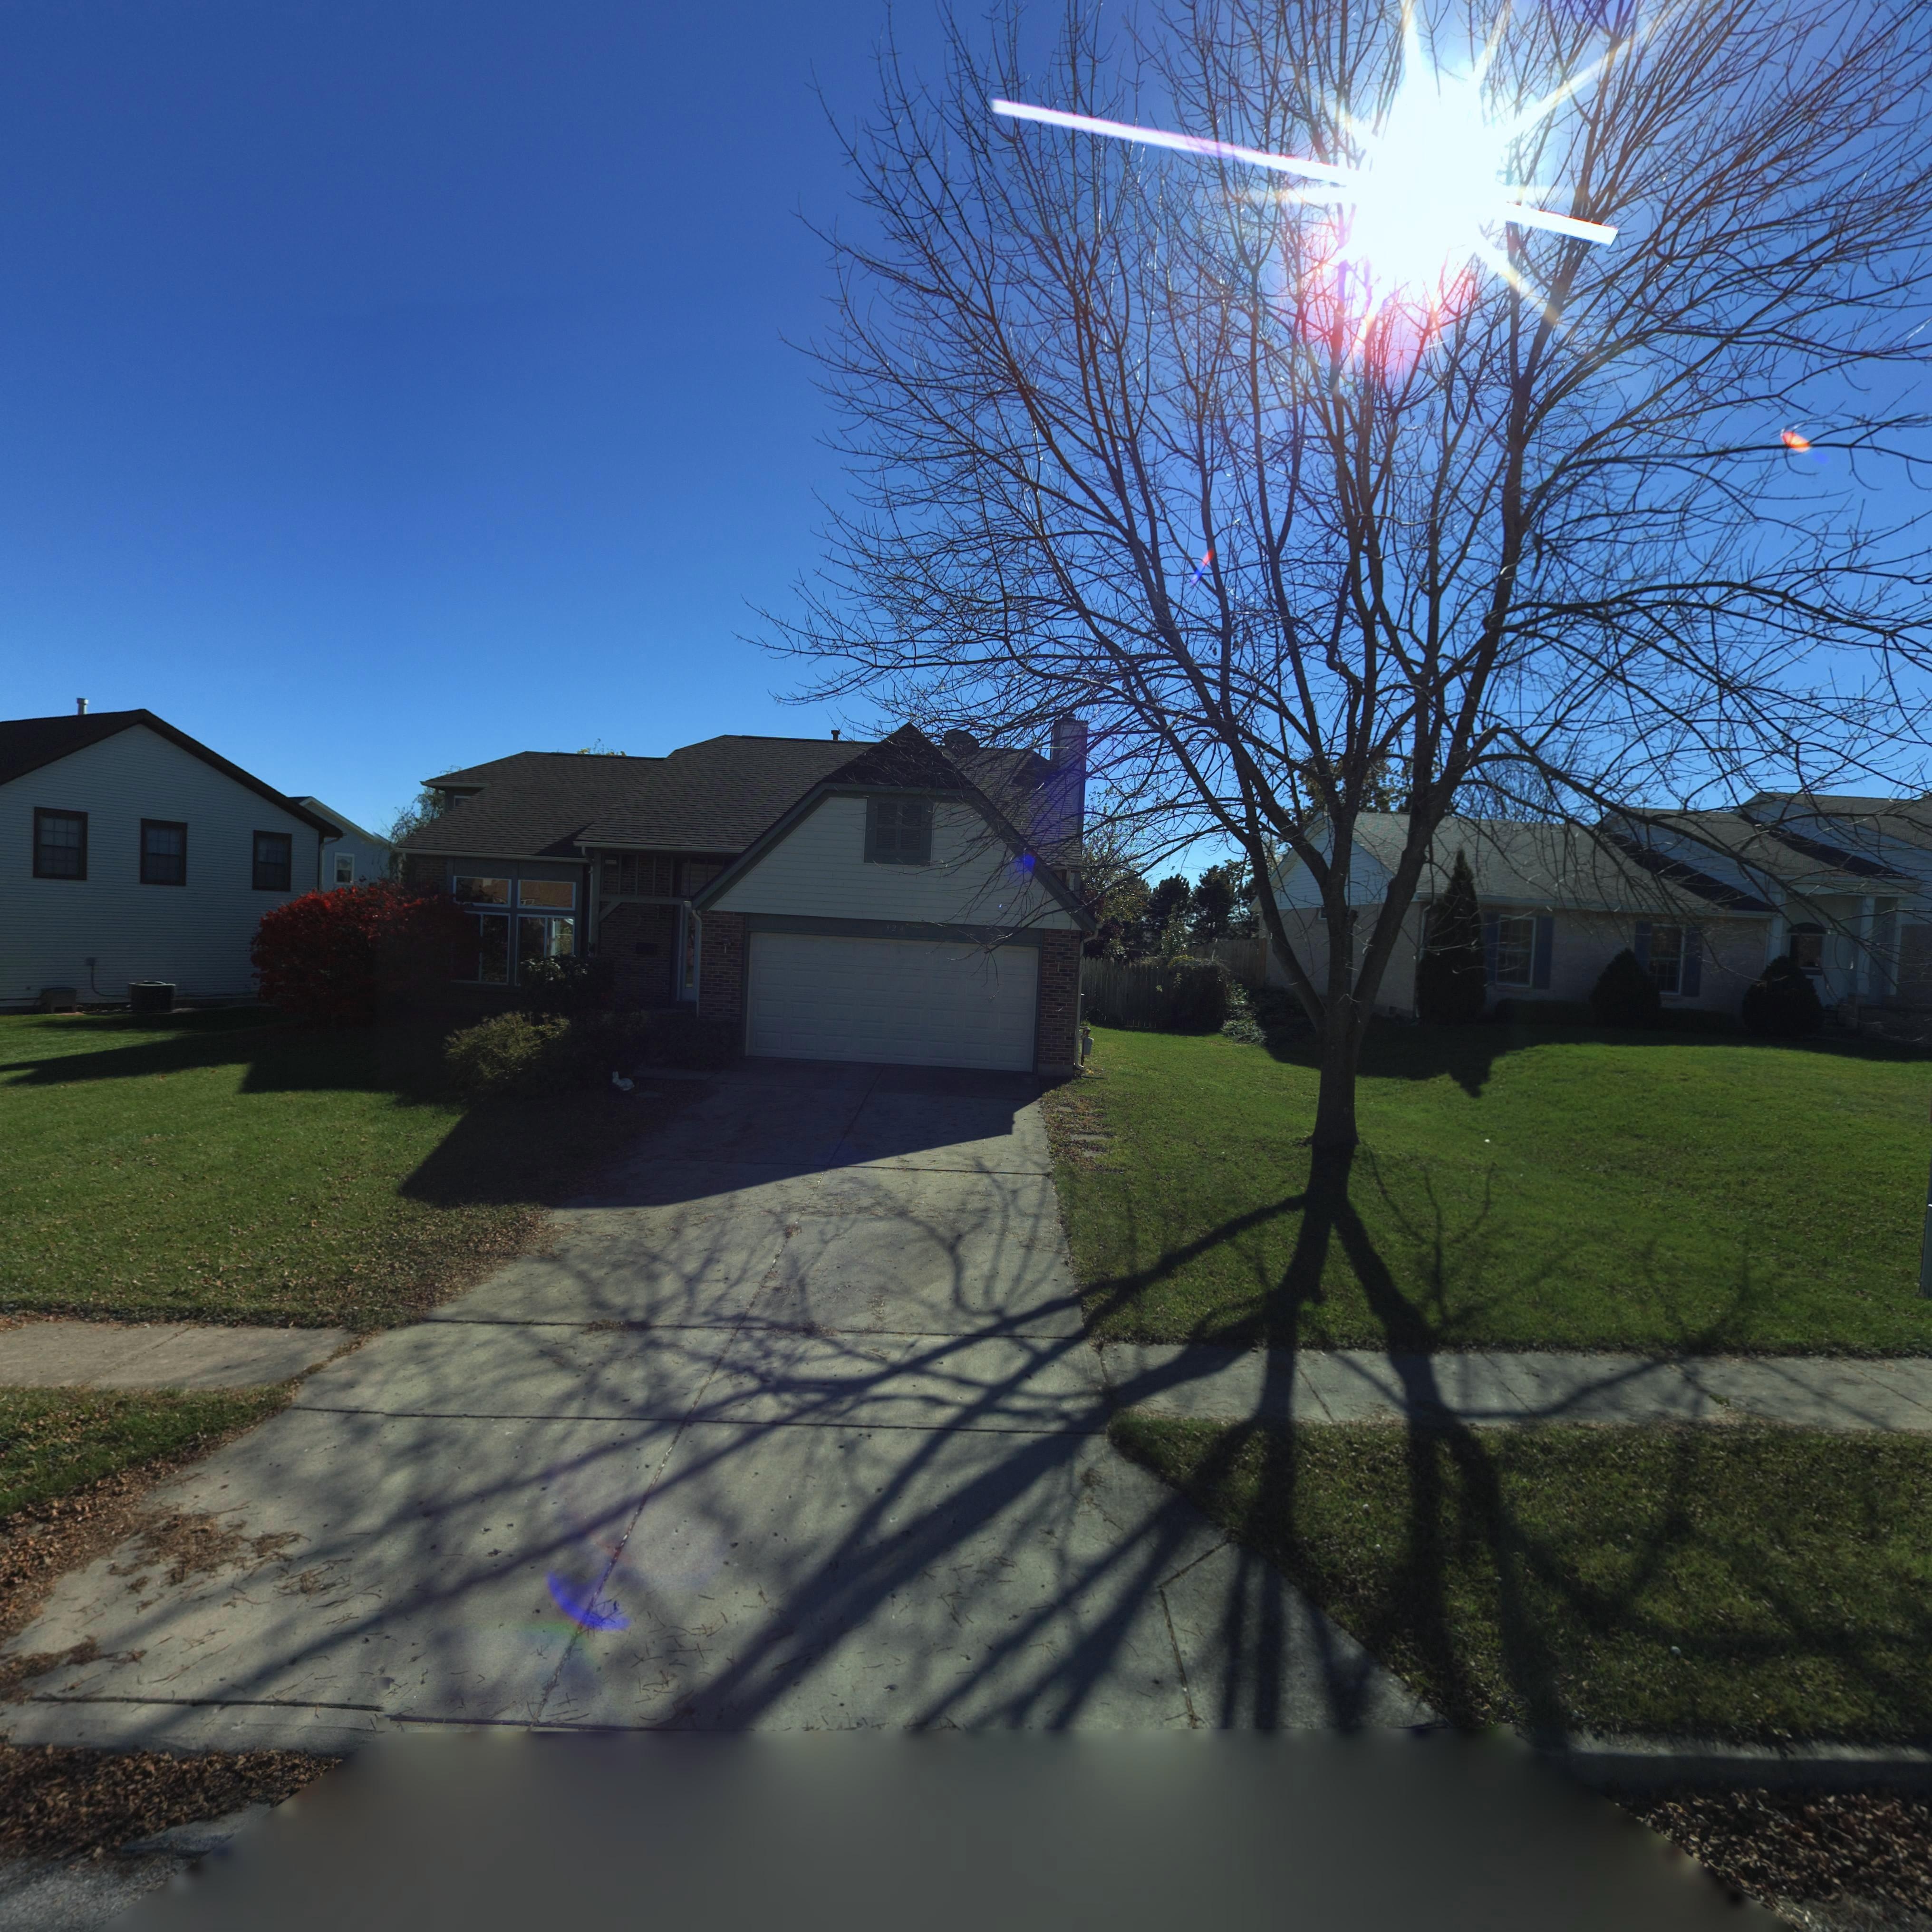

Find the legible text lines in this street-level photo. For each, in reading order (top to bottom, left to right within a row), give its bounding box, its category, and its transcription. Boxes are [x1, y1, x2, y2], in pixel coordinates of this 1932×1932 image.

[885, 924, 904, 933] StreetNumber: 32*